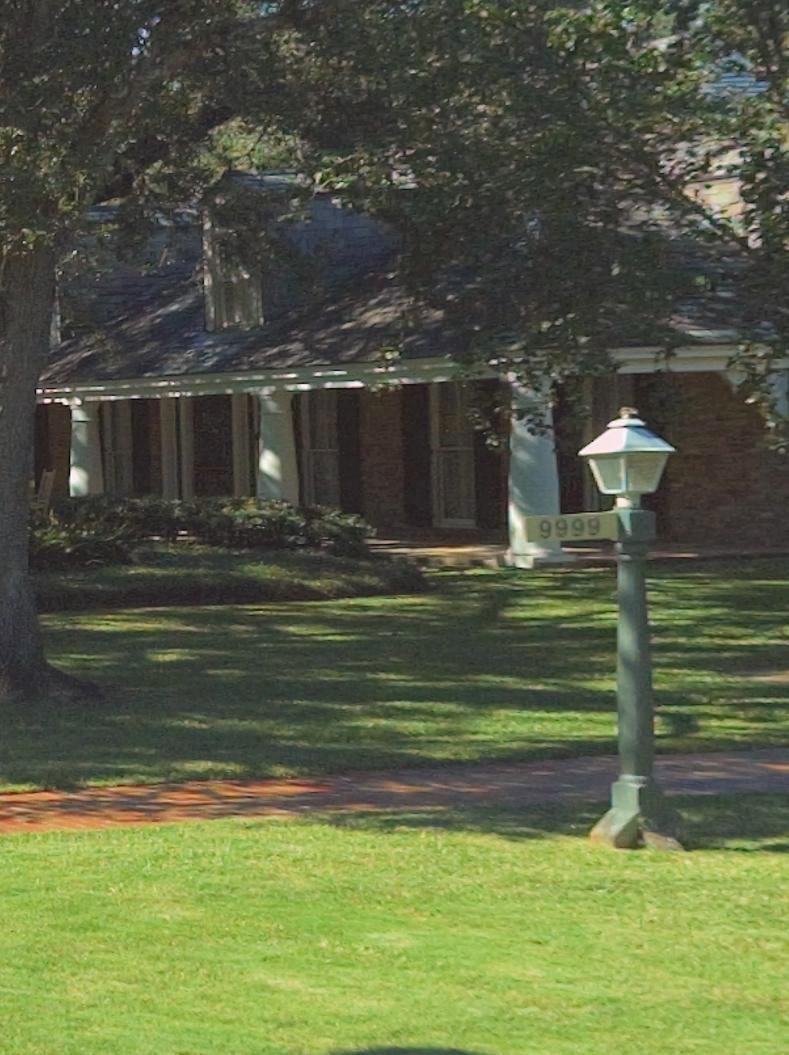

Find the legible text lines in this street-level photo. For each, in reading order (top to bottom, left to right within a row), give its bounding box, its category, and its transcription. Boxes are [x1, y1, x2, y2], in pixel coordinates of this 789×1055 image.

[537, 515, 602, 541] StreetNumber: 9999